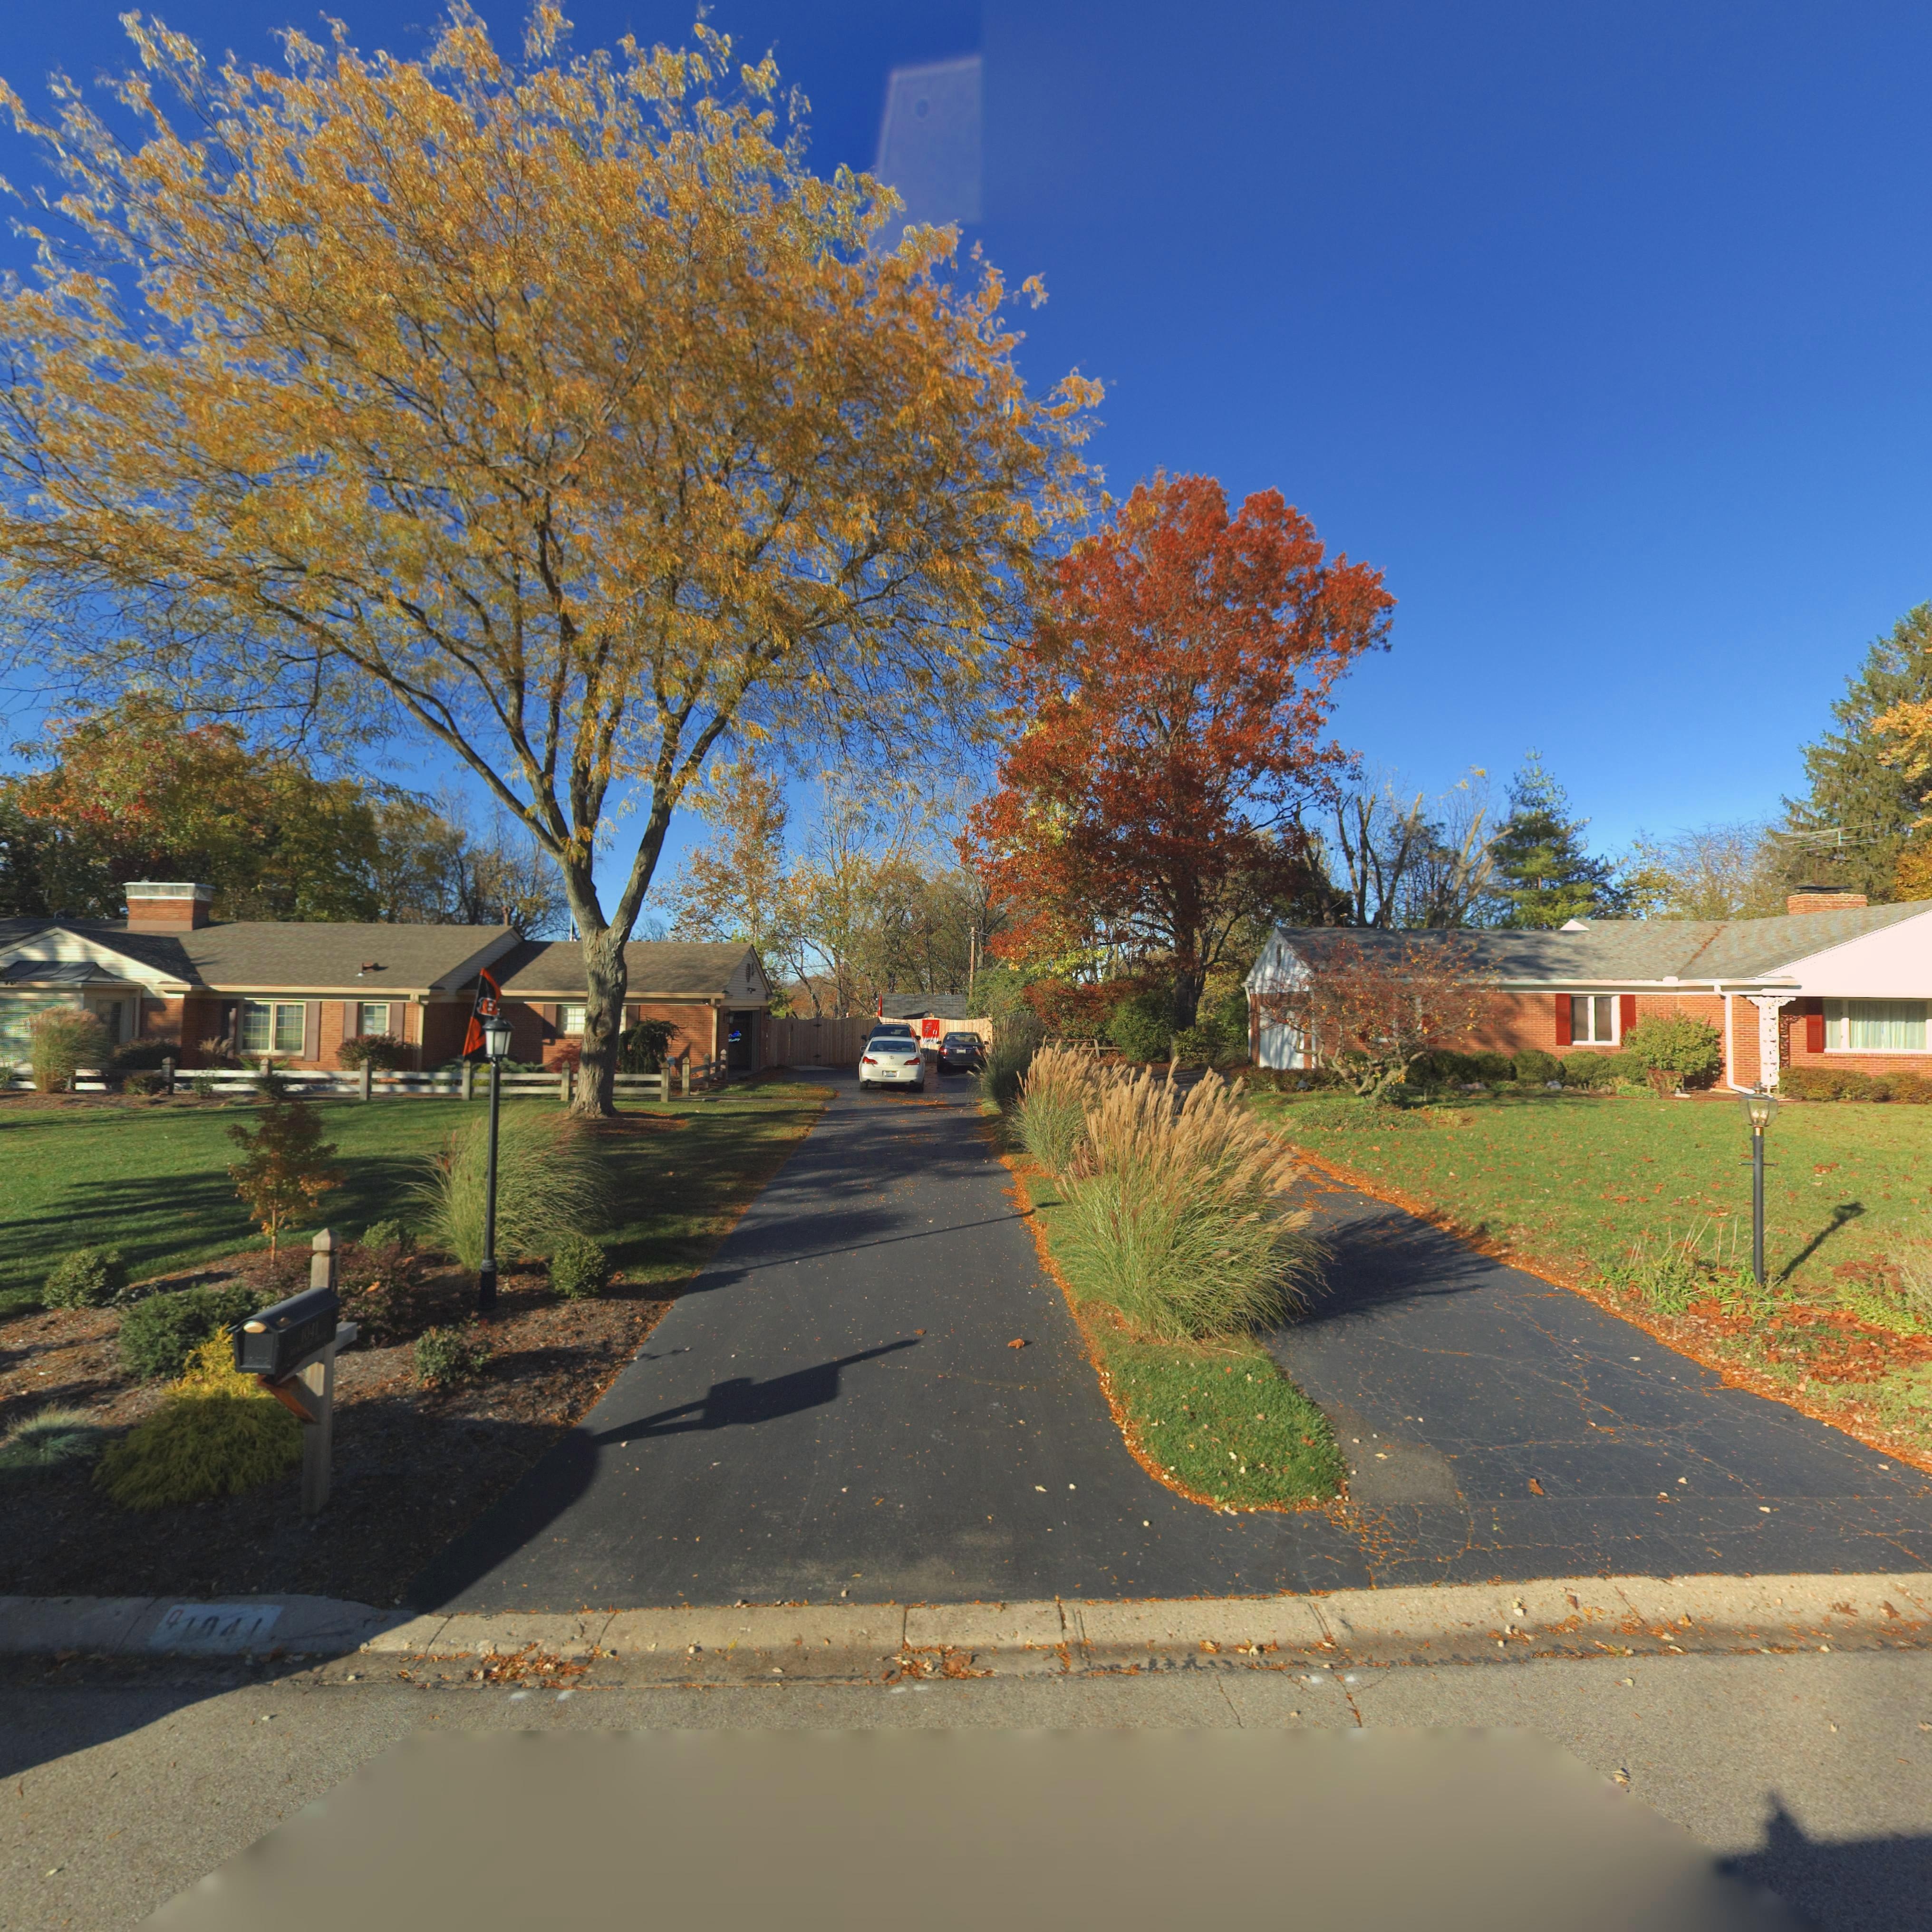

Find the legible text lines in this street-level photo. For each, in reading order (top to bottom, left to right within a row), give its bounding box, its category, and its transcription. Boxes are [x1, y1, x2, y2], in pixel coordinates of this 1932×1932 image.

[299, 1319, 319, 1346] StreetNumber: 1041
[176, 1614, 265, 1644] StreetNumber: **4*